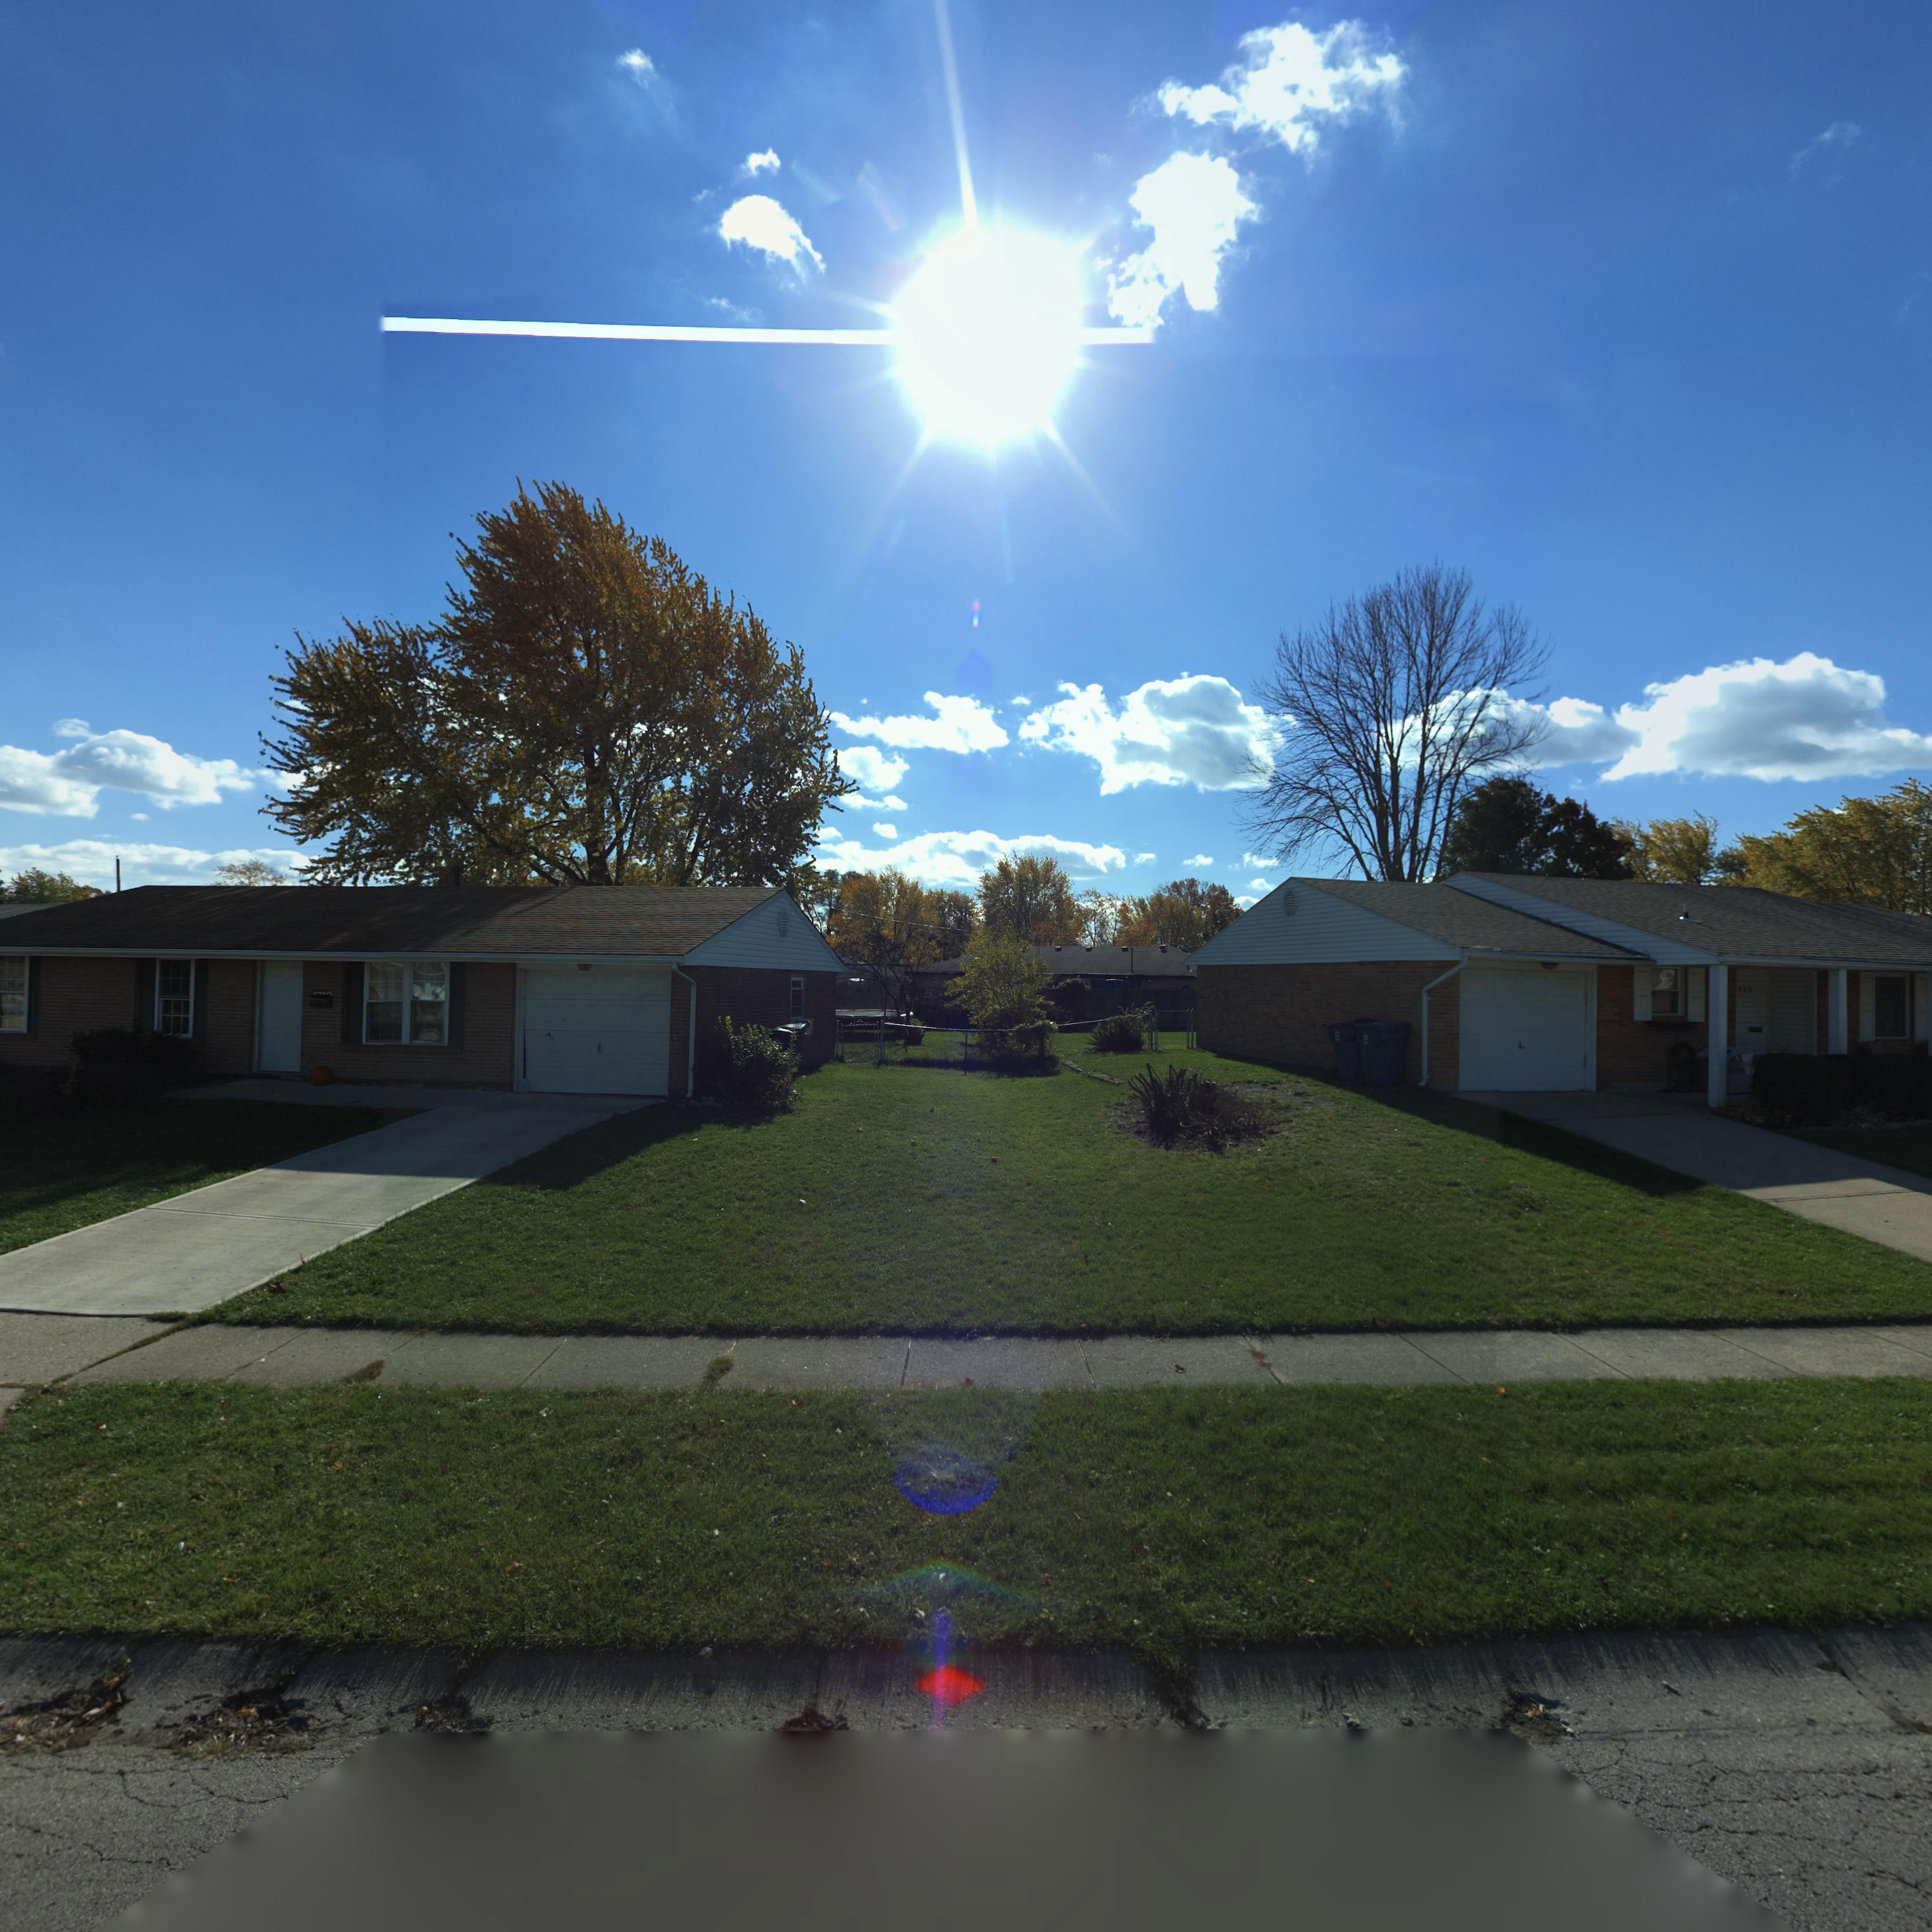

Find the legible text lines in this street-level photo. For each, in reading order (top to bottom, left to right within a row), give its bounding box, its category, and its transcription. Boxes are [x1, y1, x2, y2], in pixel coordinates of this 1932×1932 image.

[1737, 986, 1754, 994] StreetNumber: 72*